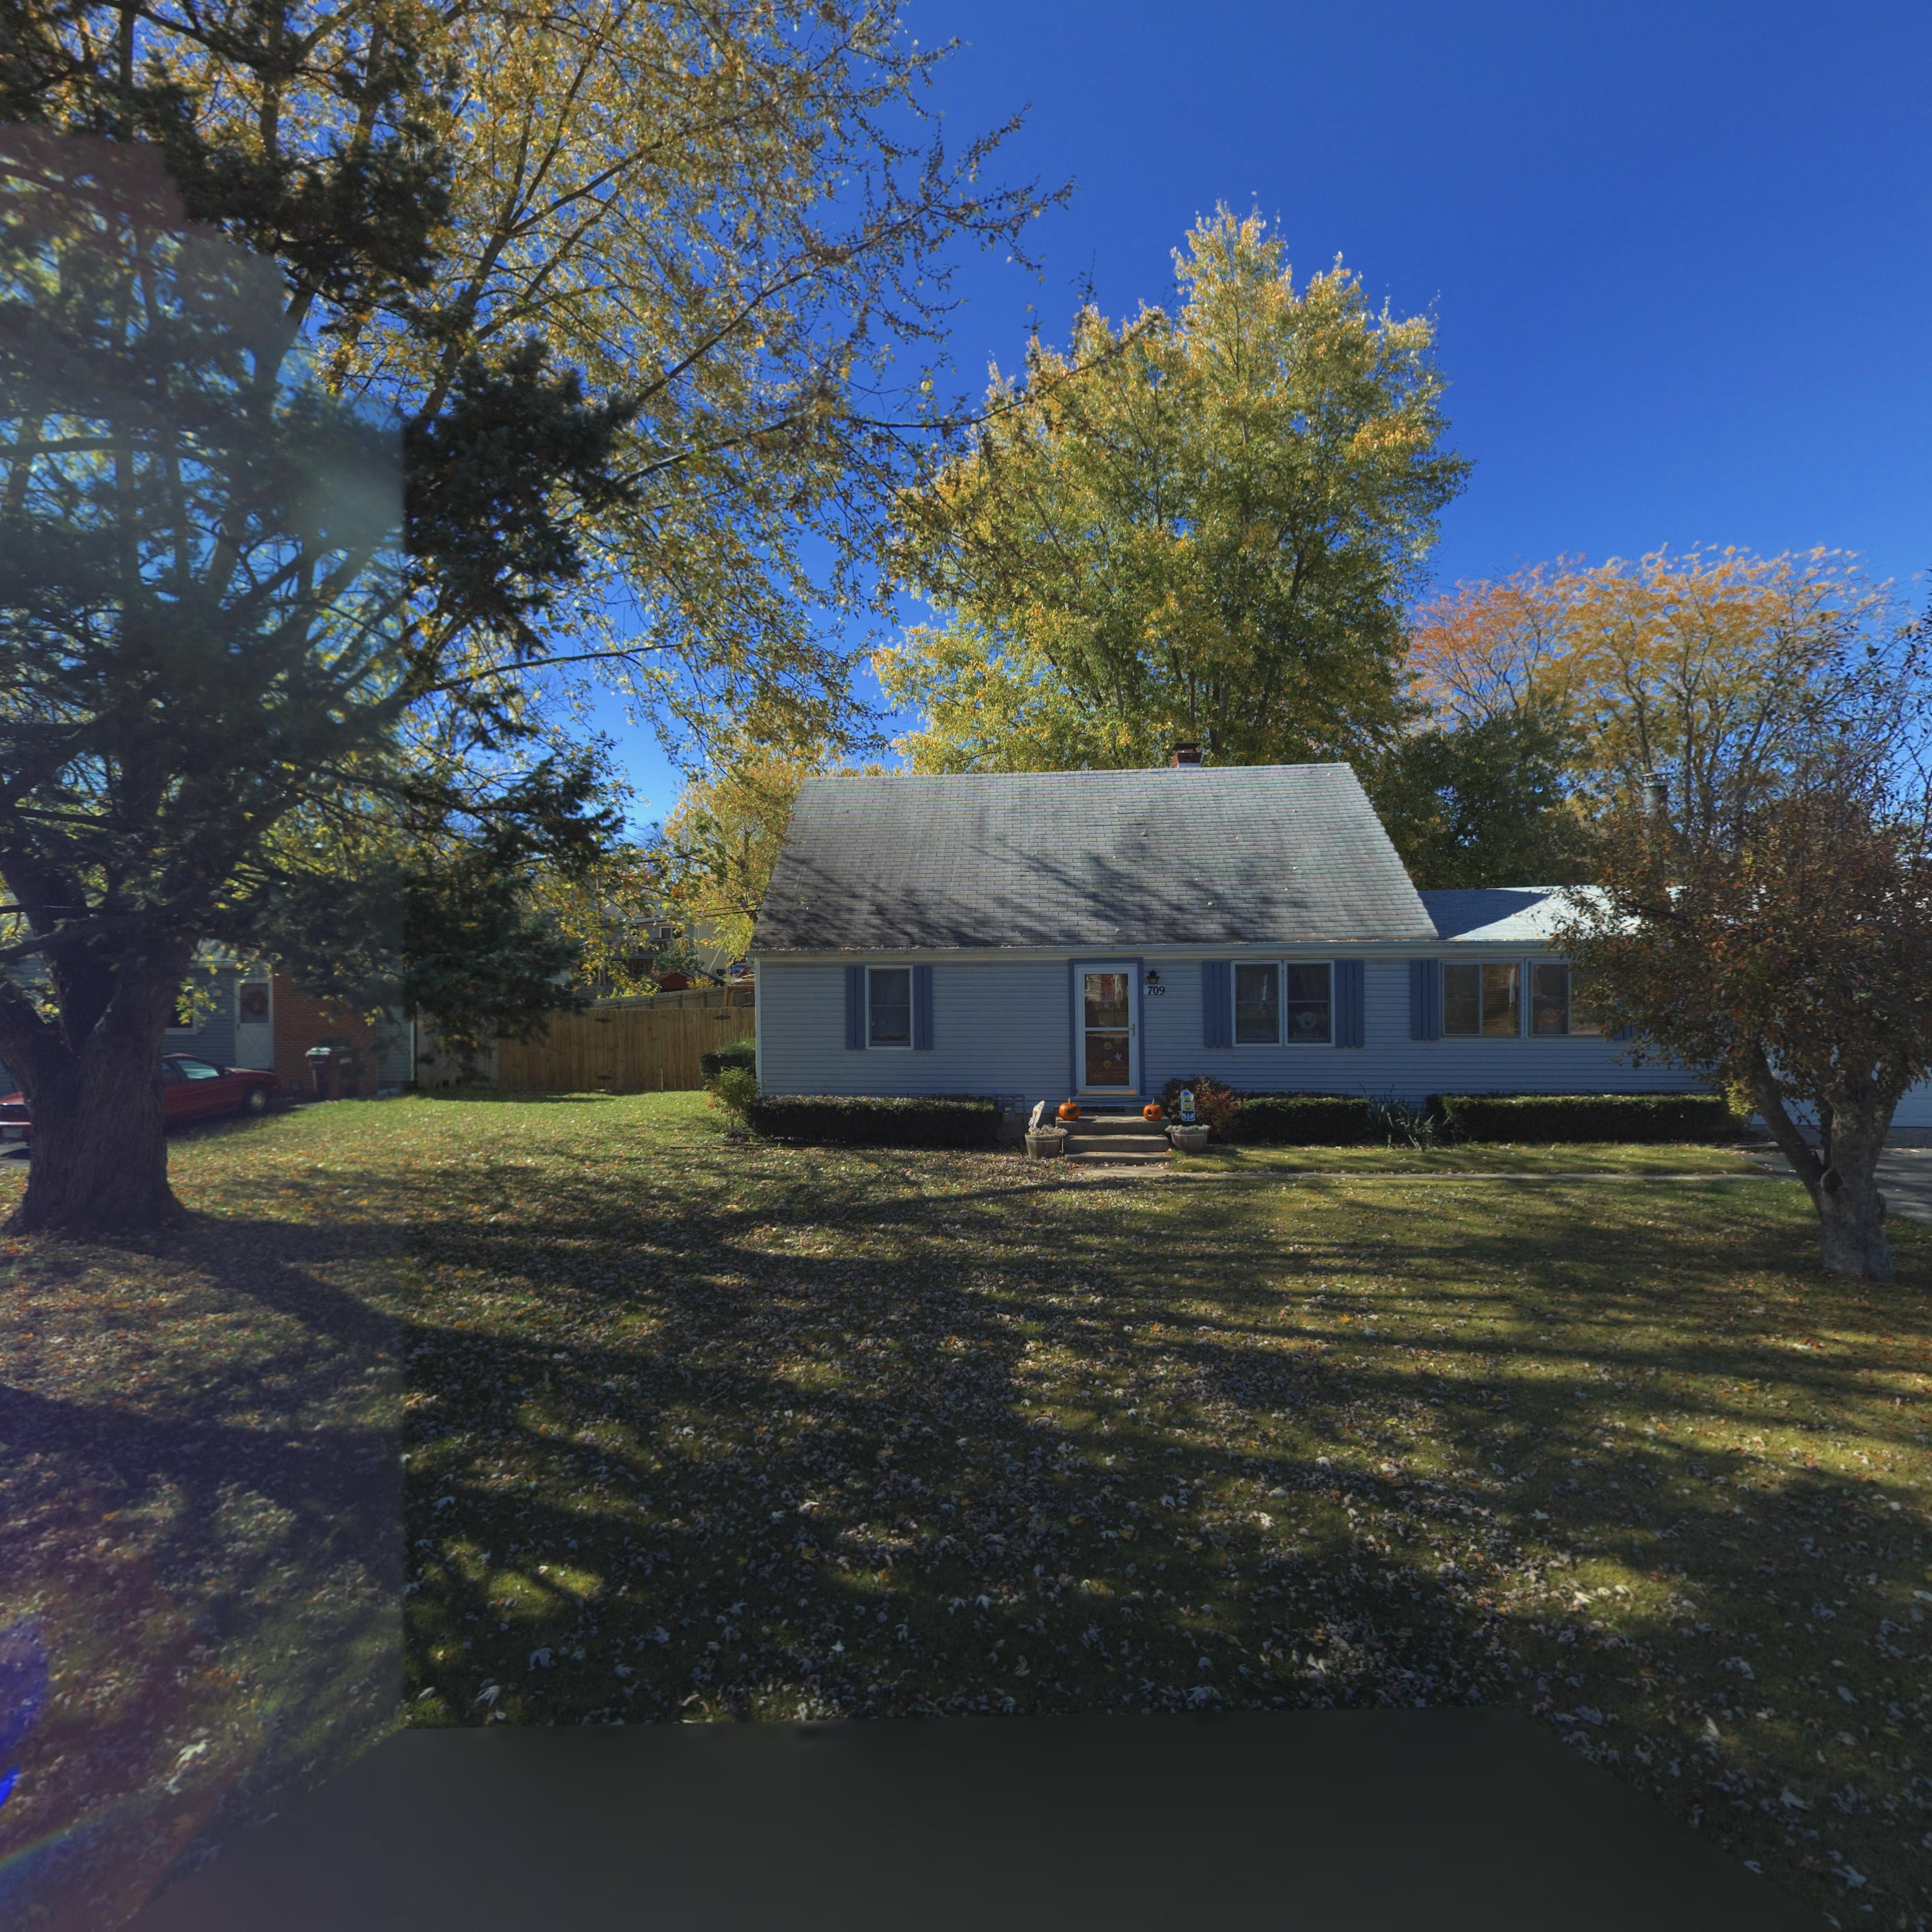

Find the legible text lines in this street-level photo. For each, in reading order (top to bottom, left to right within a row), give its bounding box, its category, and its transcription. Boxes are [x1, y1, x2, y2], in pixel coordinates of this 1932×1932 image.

[1147, 985, 1165, 995] StreetNumber: 709